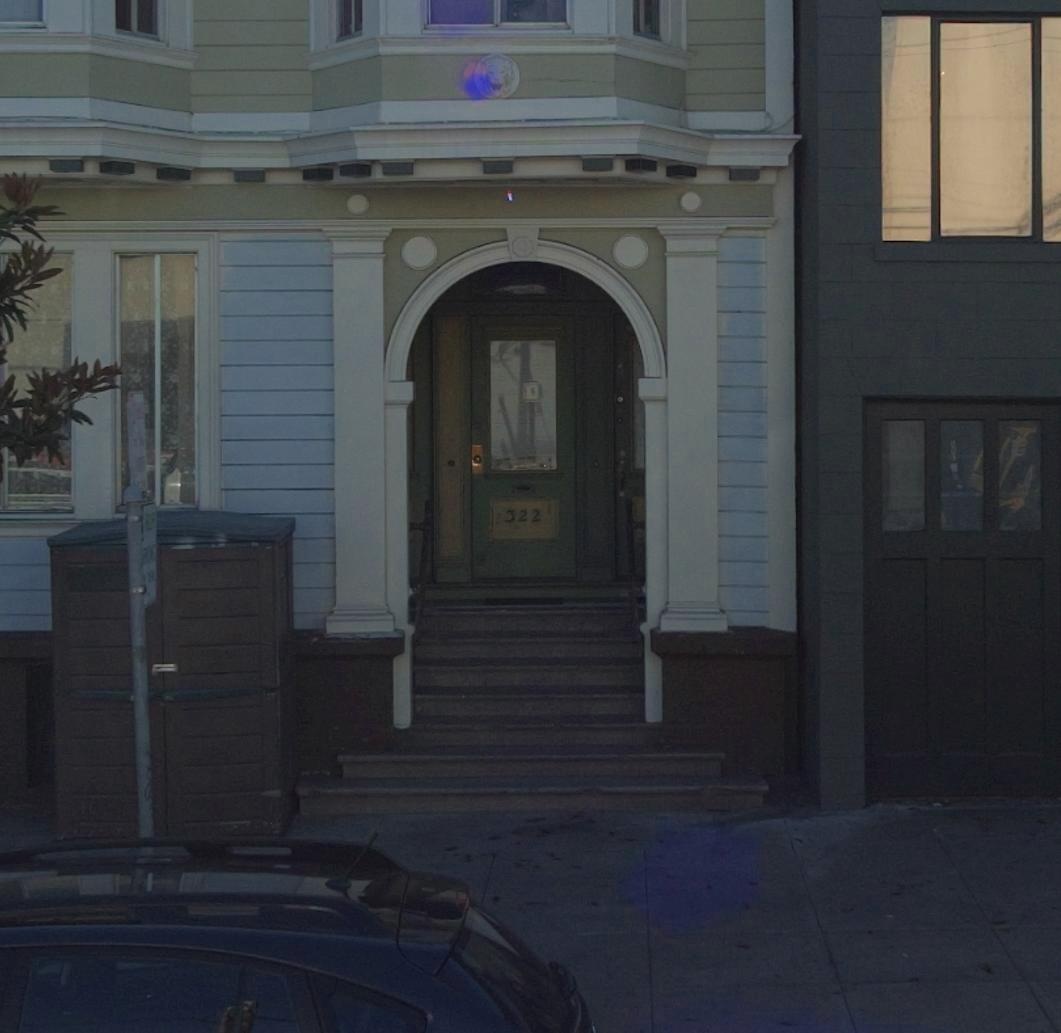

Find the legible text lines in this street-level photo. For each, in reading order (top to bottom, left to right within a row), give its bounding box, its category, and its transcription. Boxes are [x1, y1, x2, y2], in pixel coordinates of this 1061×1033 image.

[502, 505, 545, 526] StreetNumber: 522